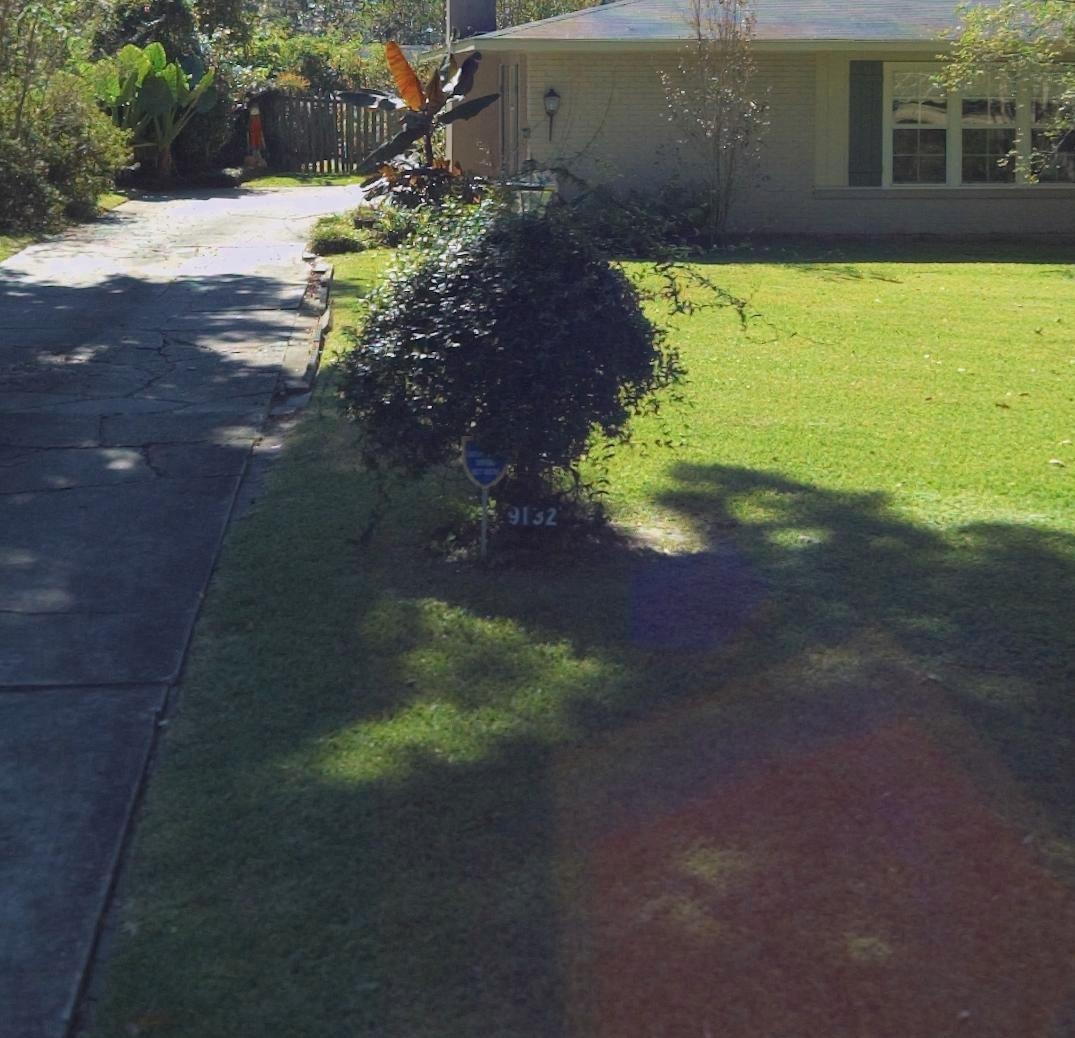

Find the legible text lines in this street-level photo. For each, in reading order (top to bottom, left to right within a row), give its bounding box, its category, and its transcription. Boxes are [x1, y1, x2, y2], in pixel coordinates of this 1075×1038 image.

[506, 503, 559, 528] StreetNumber: 9132